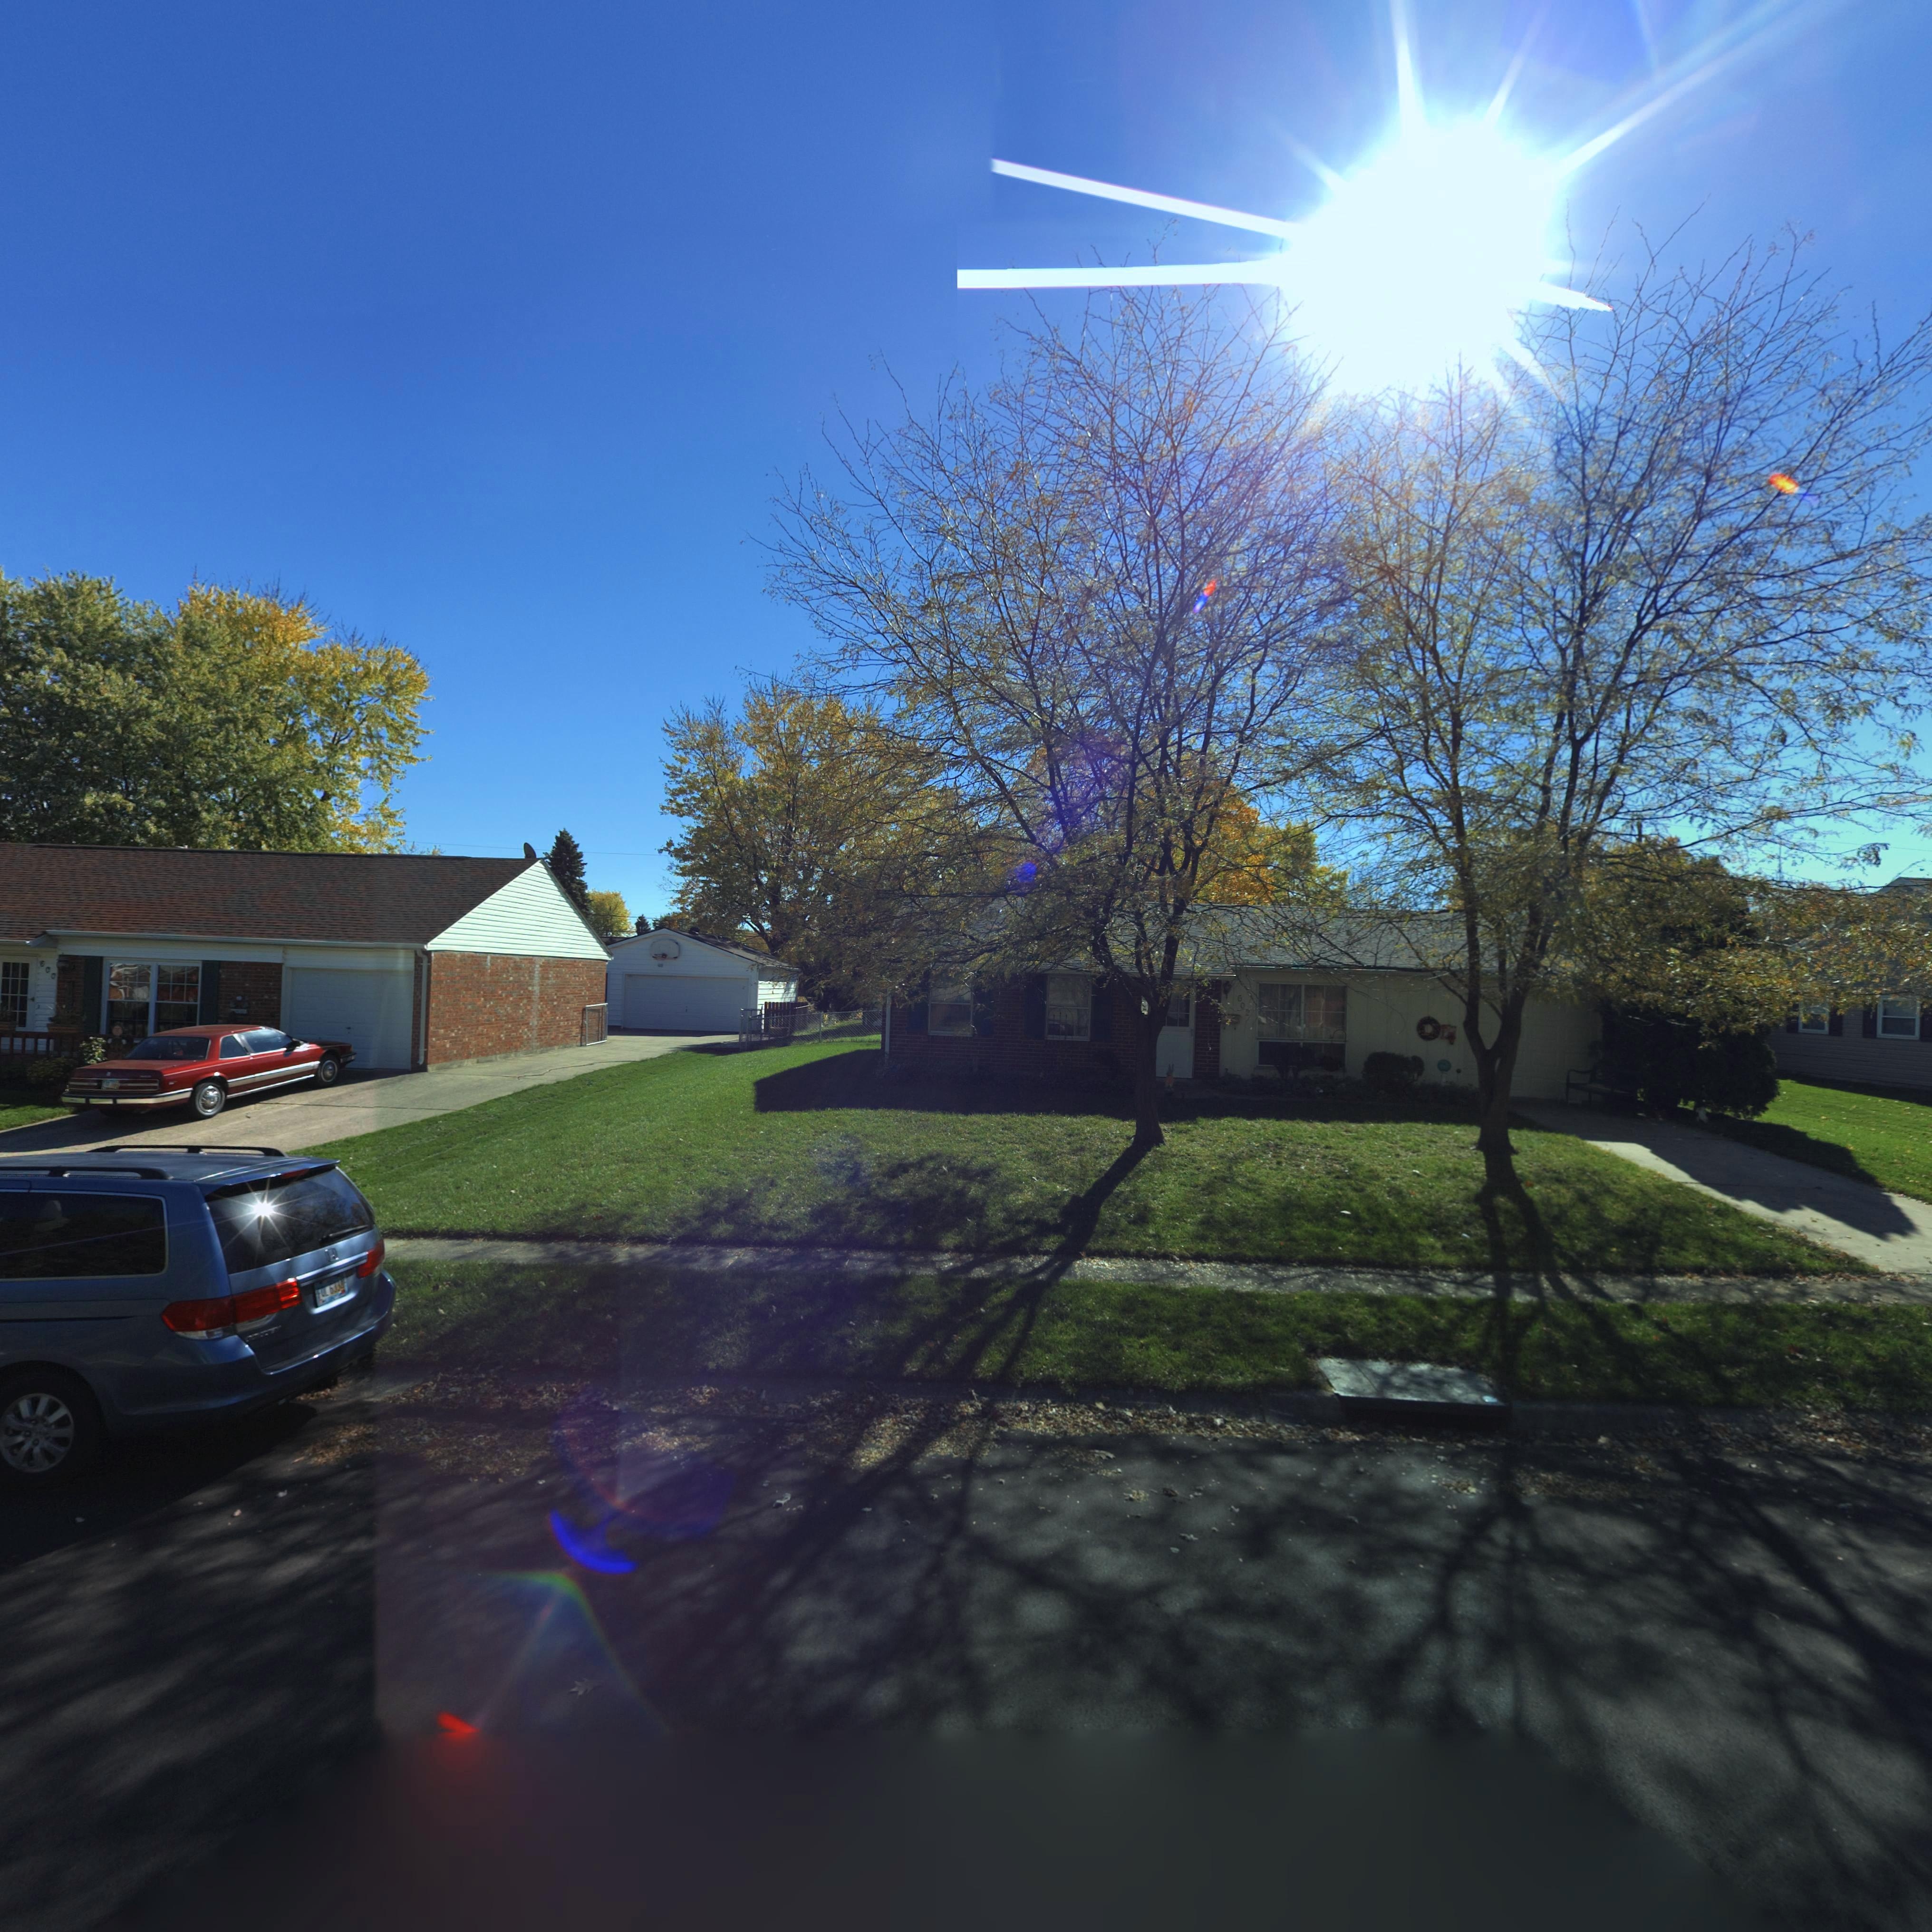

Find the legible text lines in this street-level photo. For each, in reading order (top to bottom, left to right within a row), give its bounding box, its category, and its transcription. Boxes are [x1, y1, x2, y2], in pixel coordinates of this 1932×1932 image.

[39, 960, 57, 980] StreetNumber: 600
[1236, 995, 1250, 1017] StreetNumber: 602